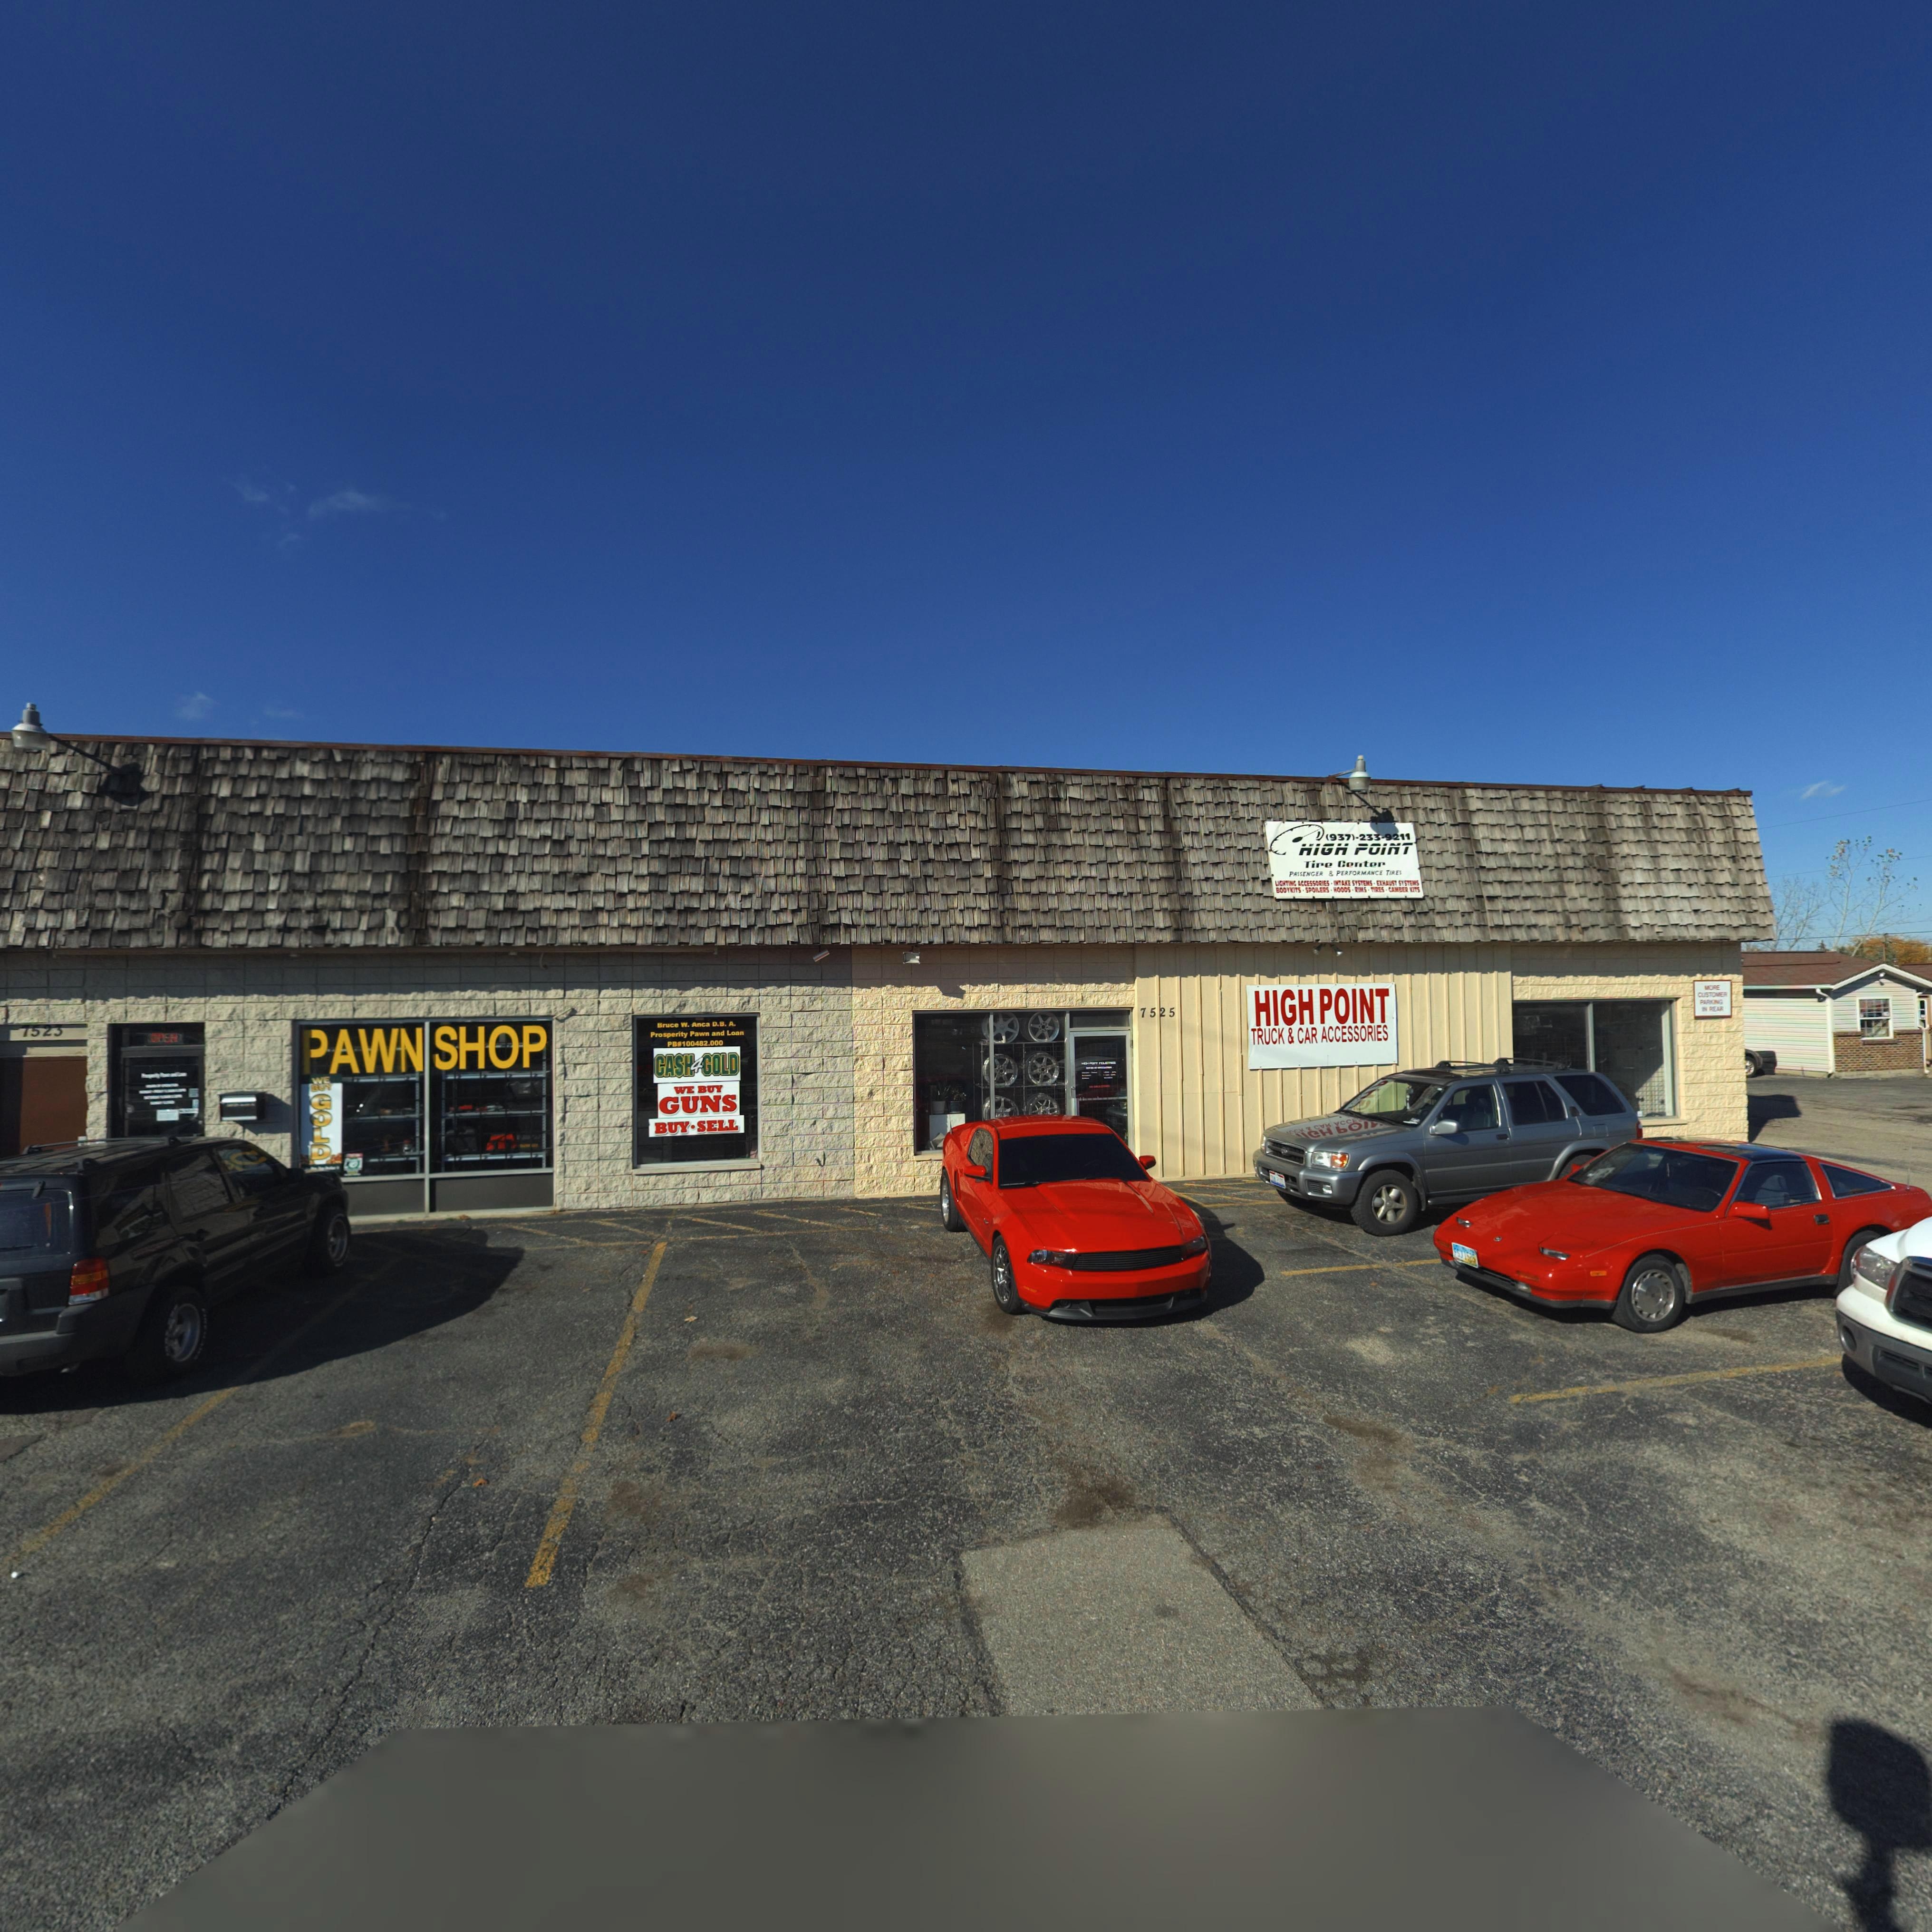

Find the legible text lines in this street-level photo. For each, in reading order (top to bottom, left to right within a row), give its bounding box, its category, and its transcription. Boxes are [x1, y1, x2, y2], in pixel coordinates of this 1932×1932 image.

[1140, 1006, 1176, 1019] StreetNumber: 7525
[1254, 987, 1390, 1027] BusinessName: HIGH POINT
[21, 1024, 64, 1038] StreetNumber: 7523
[652, 1052, 741, 1079] BusinessName: CASH4GOLD